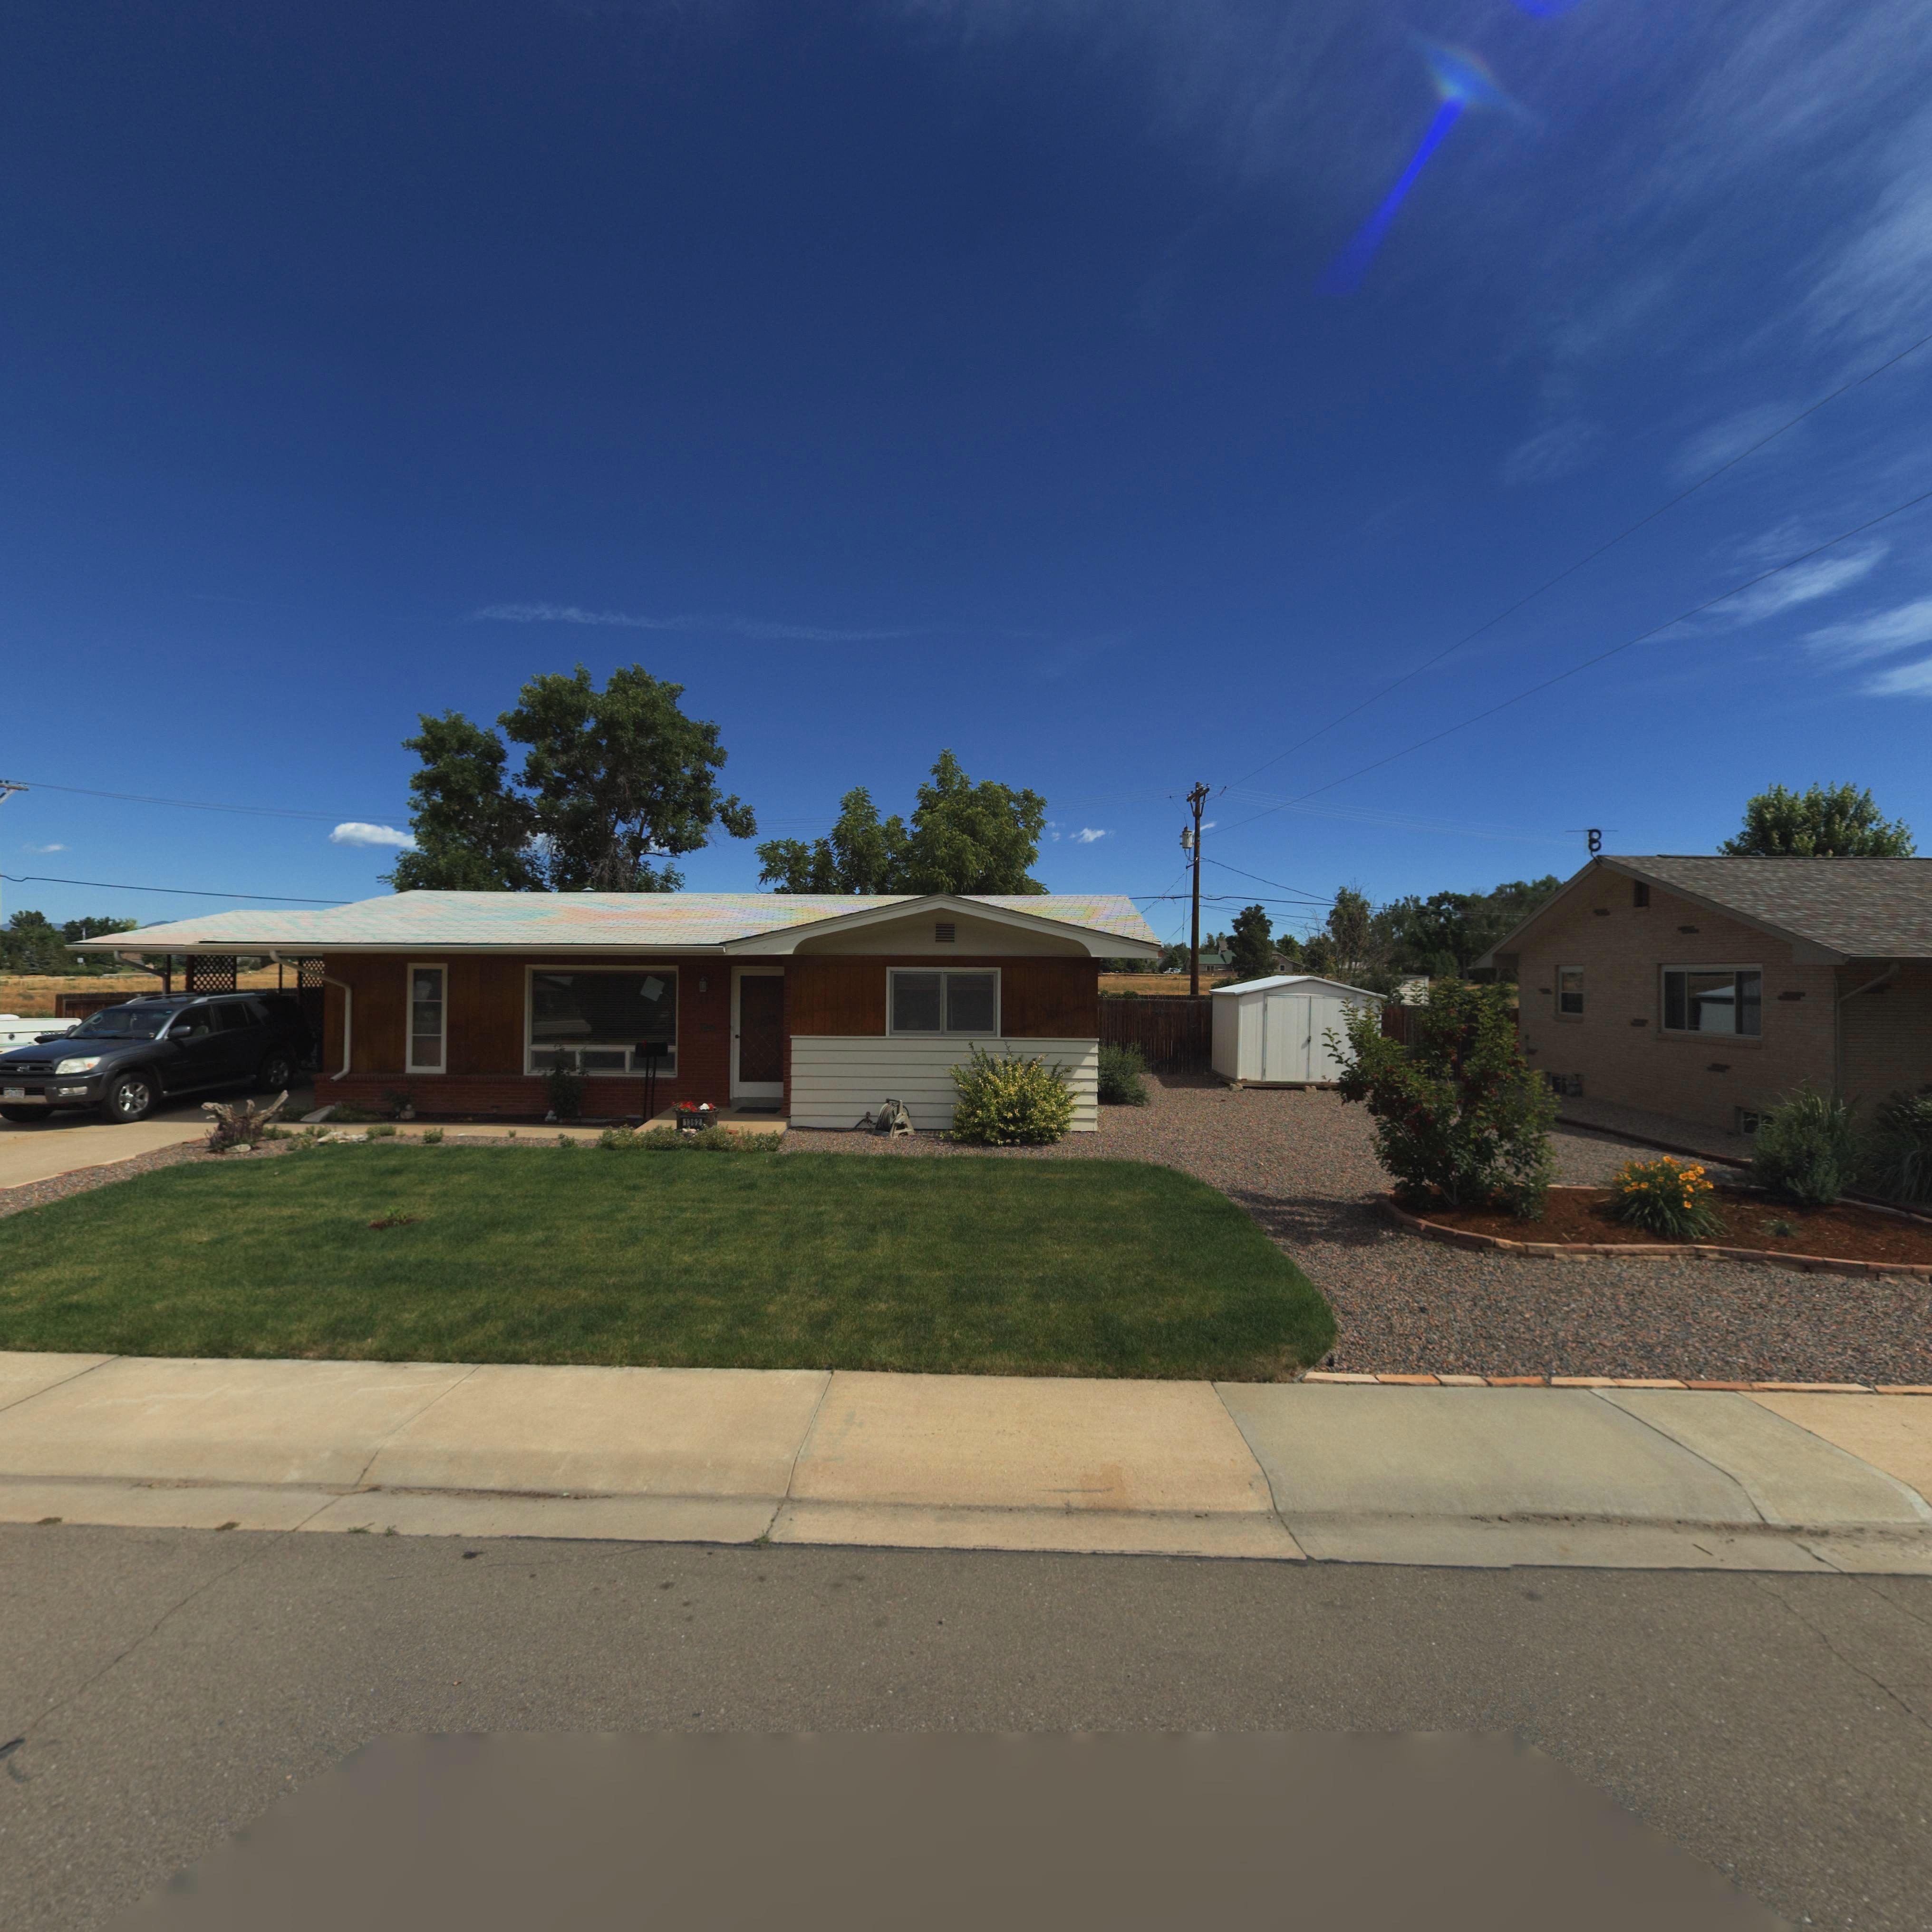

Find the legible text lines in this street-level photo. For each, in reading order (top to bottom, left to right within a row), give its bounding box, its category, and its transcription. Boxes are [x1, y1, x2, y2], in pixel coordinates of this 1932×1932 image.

[684, 1118, 700, 1126] StreetNumber: 1362